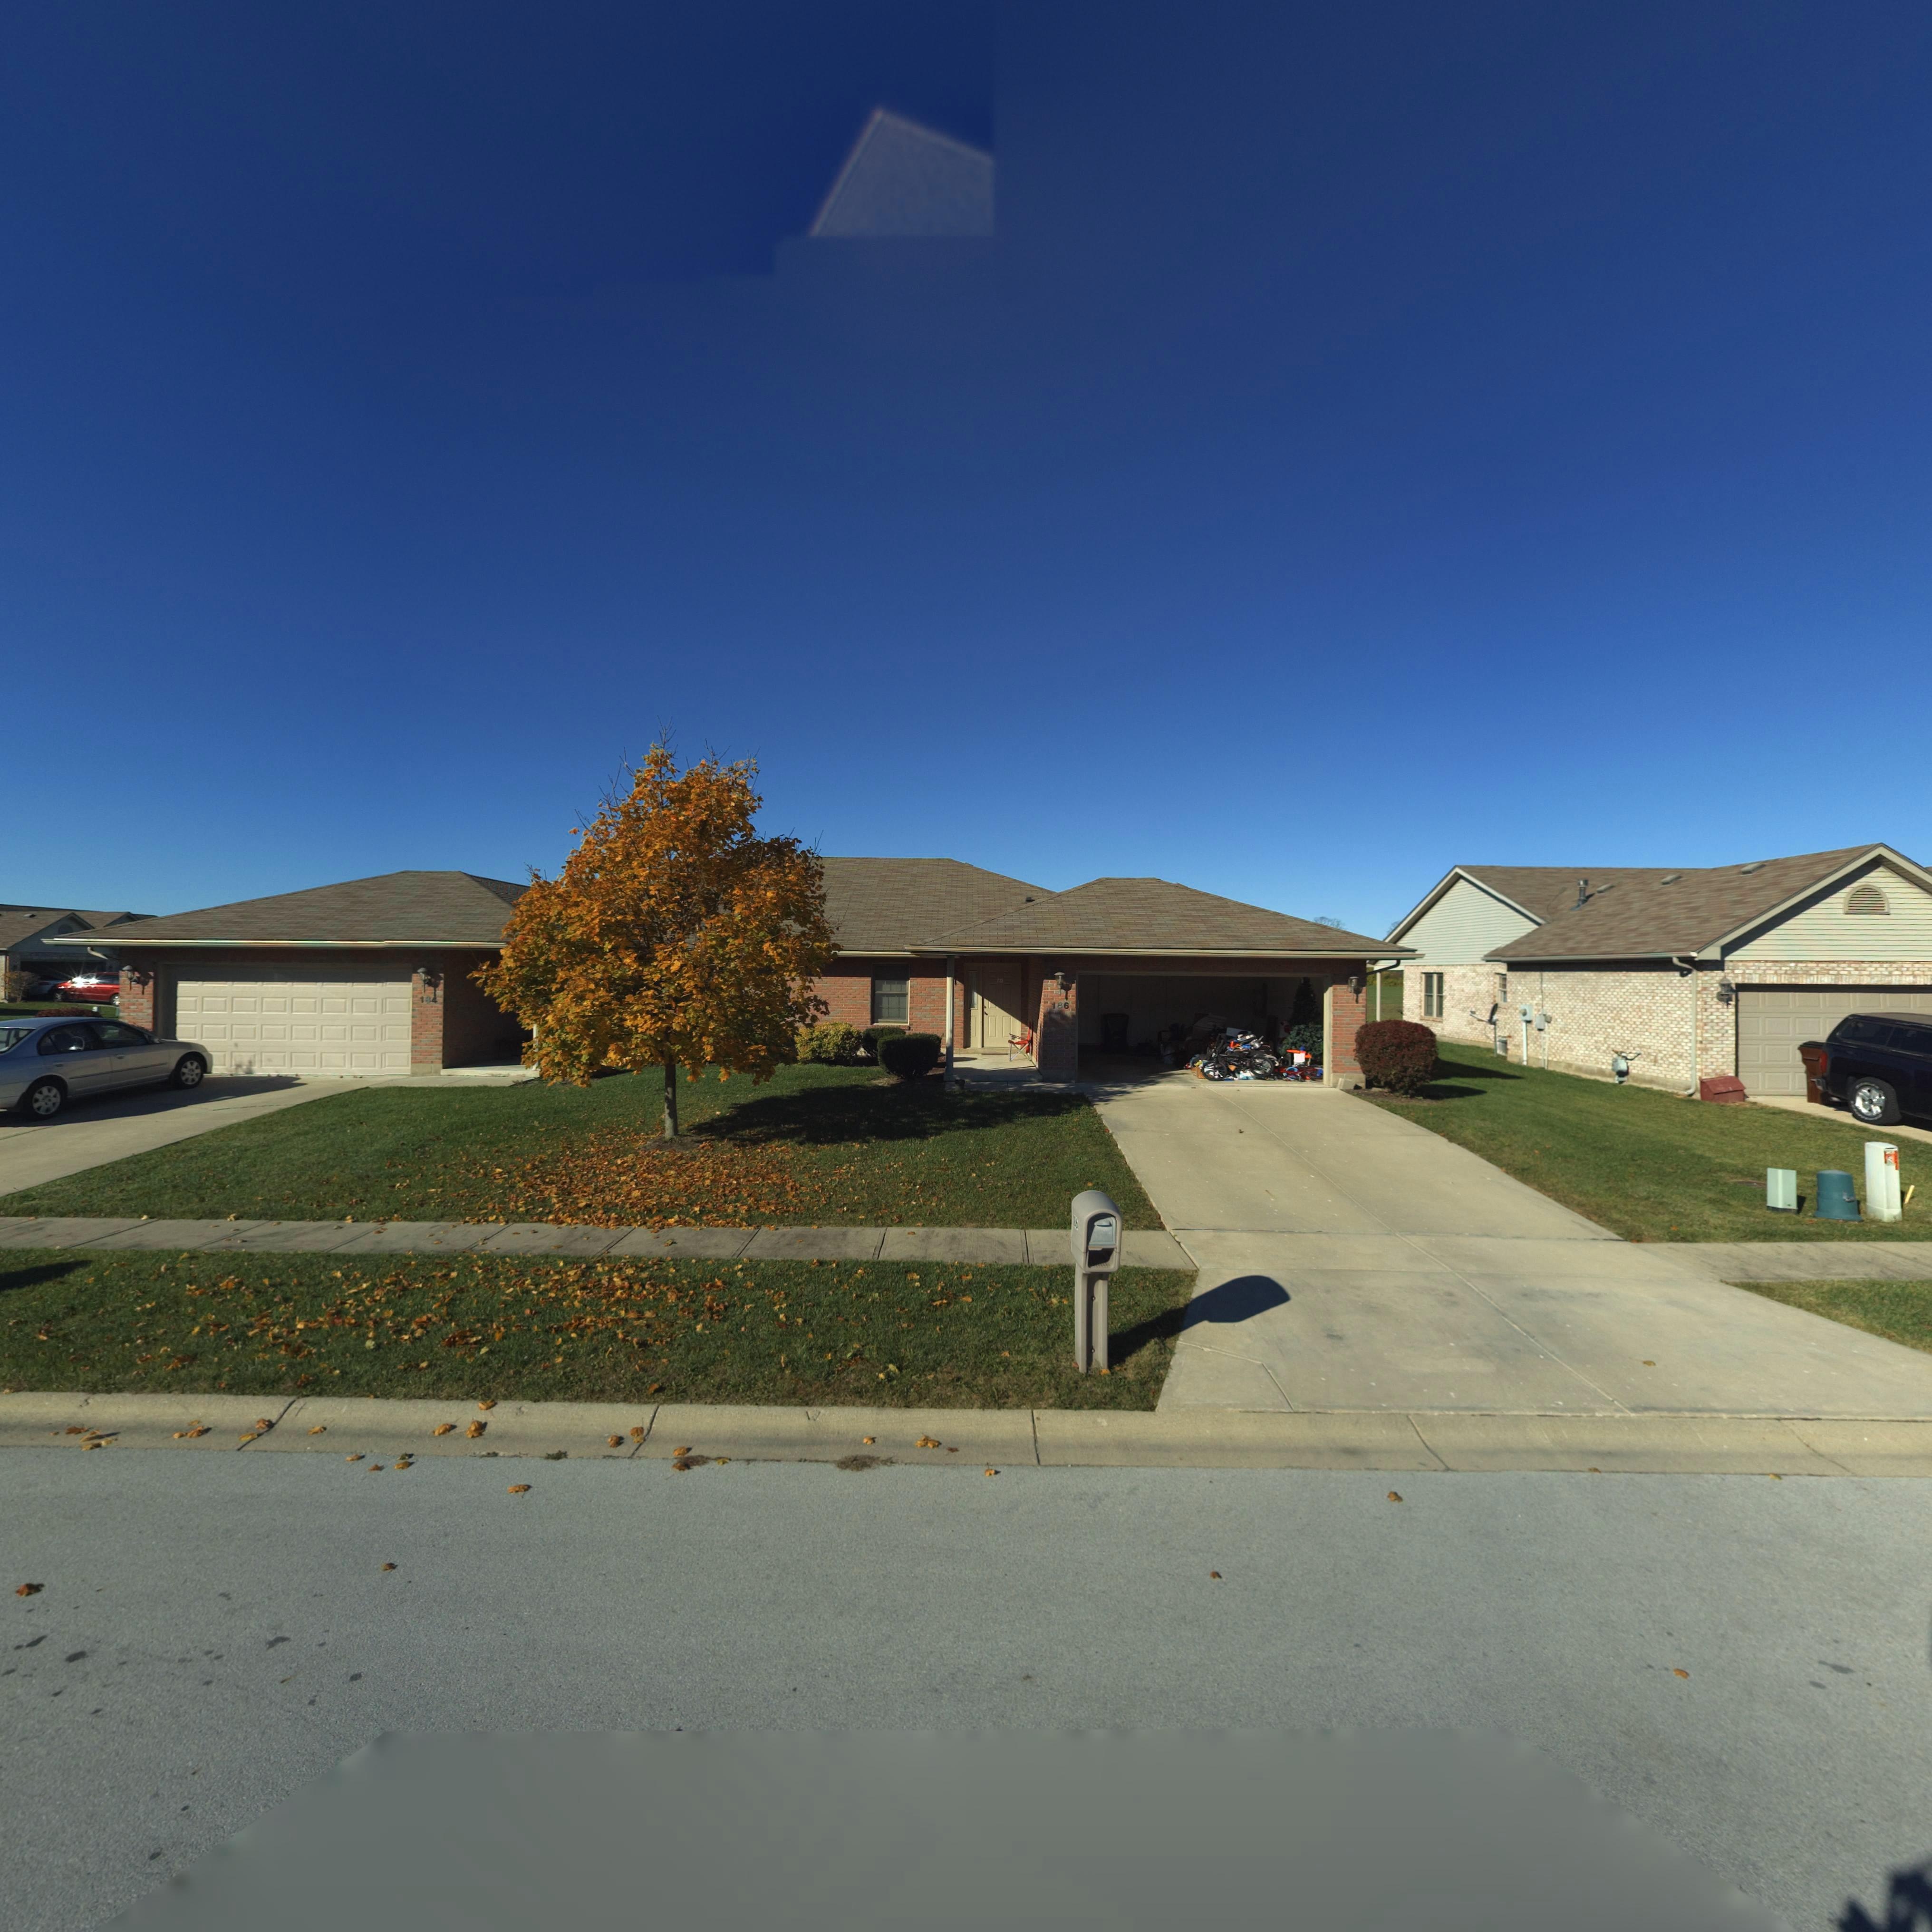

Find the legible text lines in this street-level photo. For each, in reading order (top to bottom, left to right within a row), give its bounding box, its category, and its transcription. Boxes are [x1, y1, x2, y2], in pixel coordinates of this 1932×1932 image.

[419, 995, 438, 1005] StreetNumber: 184
[1051, 1001, 1070, 1010] StreetNumber: 186